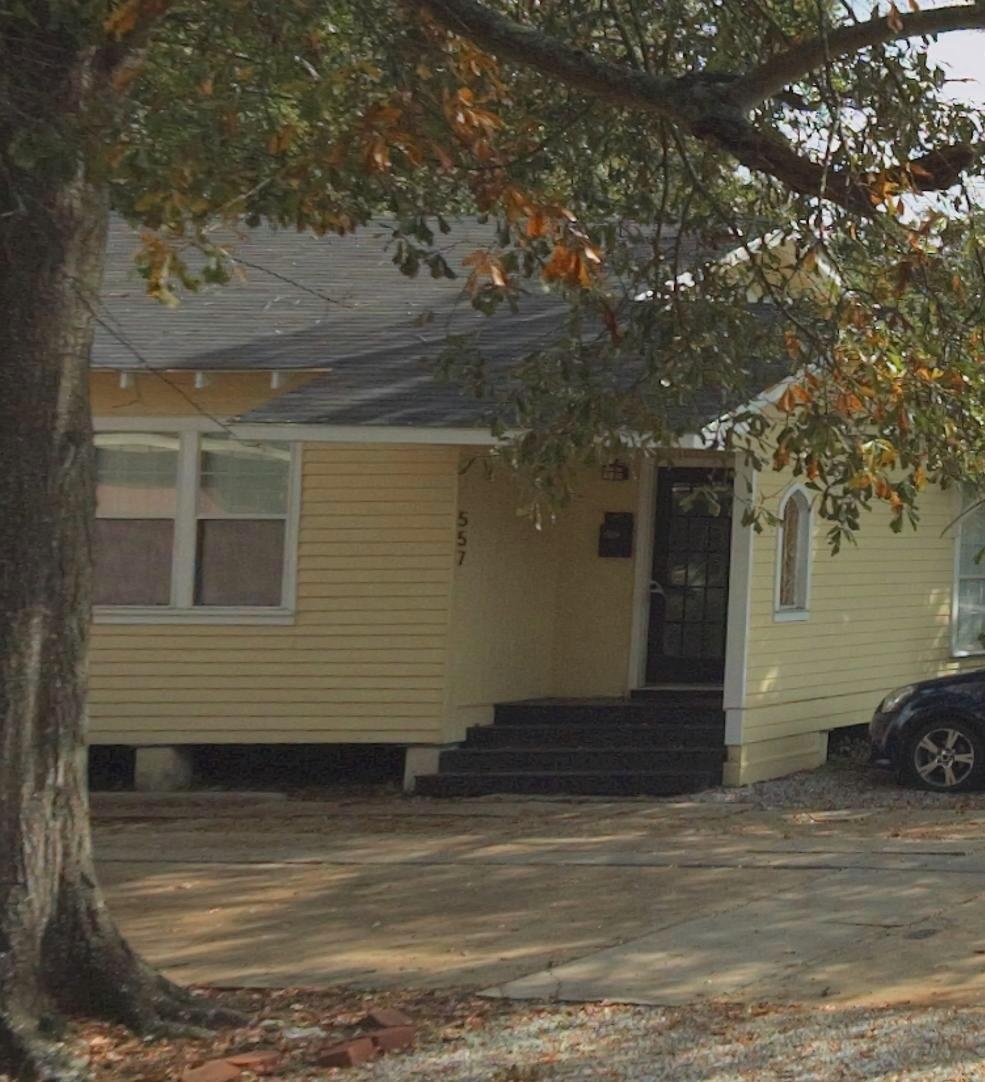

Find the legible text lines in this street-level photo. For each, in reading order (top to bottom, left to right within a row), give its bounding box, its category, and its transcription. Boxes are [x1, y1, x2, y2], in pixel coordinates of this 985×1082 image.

[454, 508, 470, 569] StreetNumber: 557